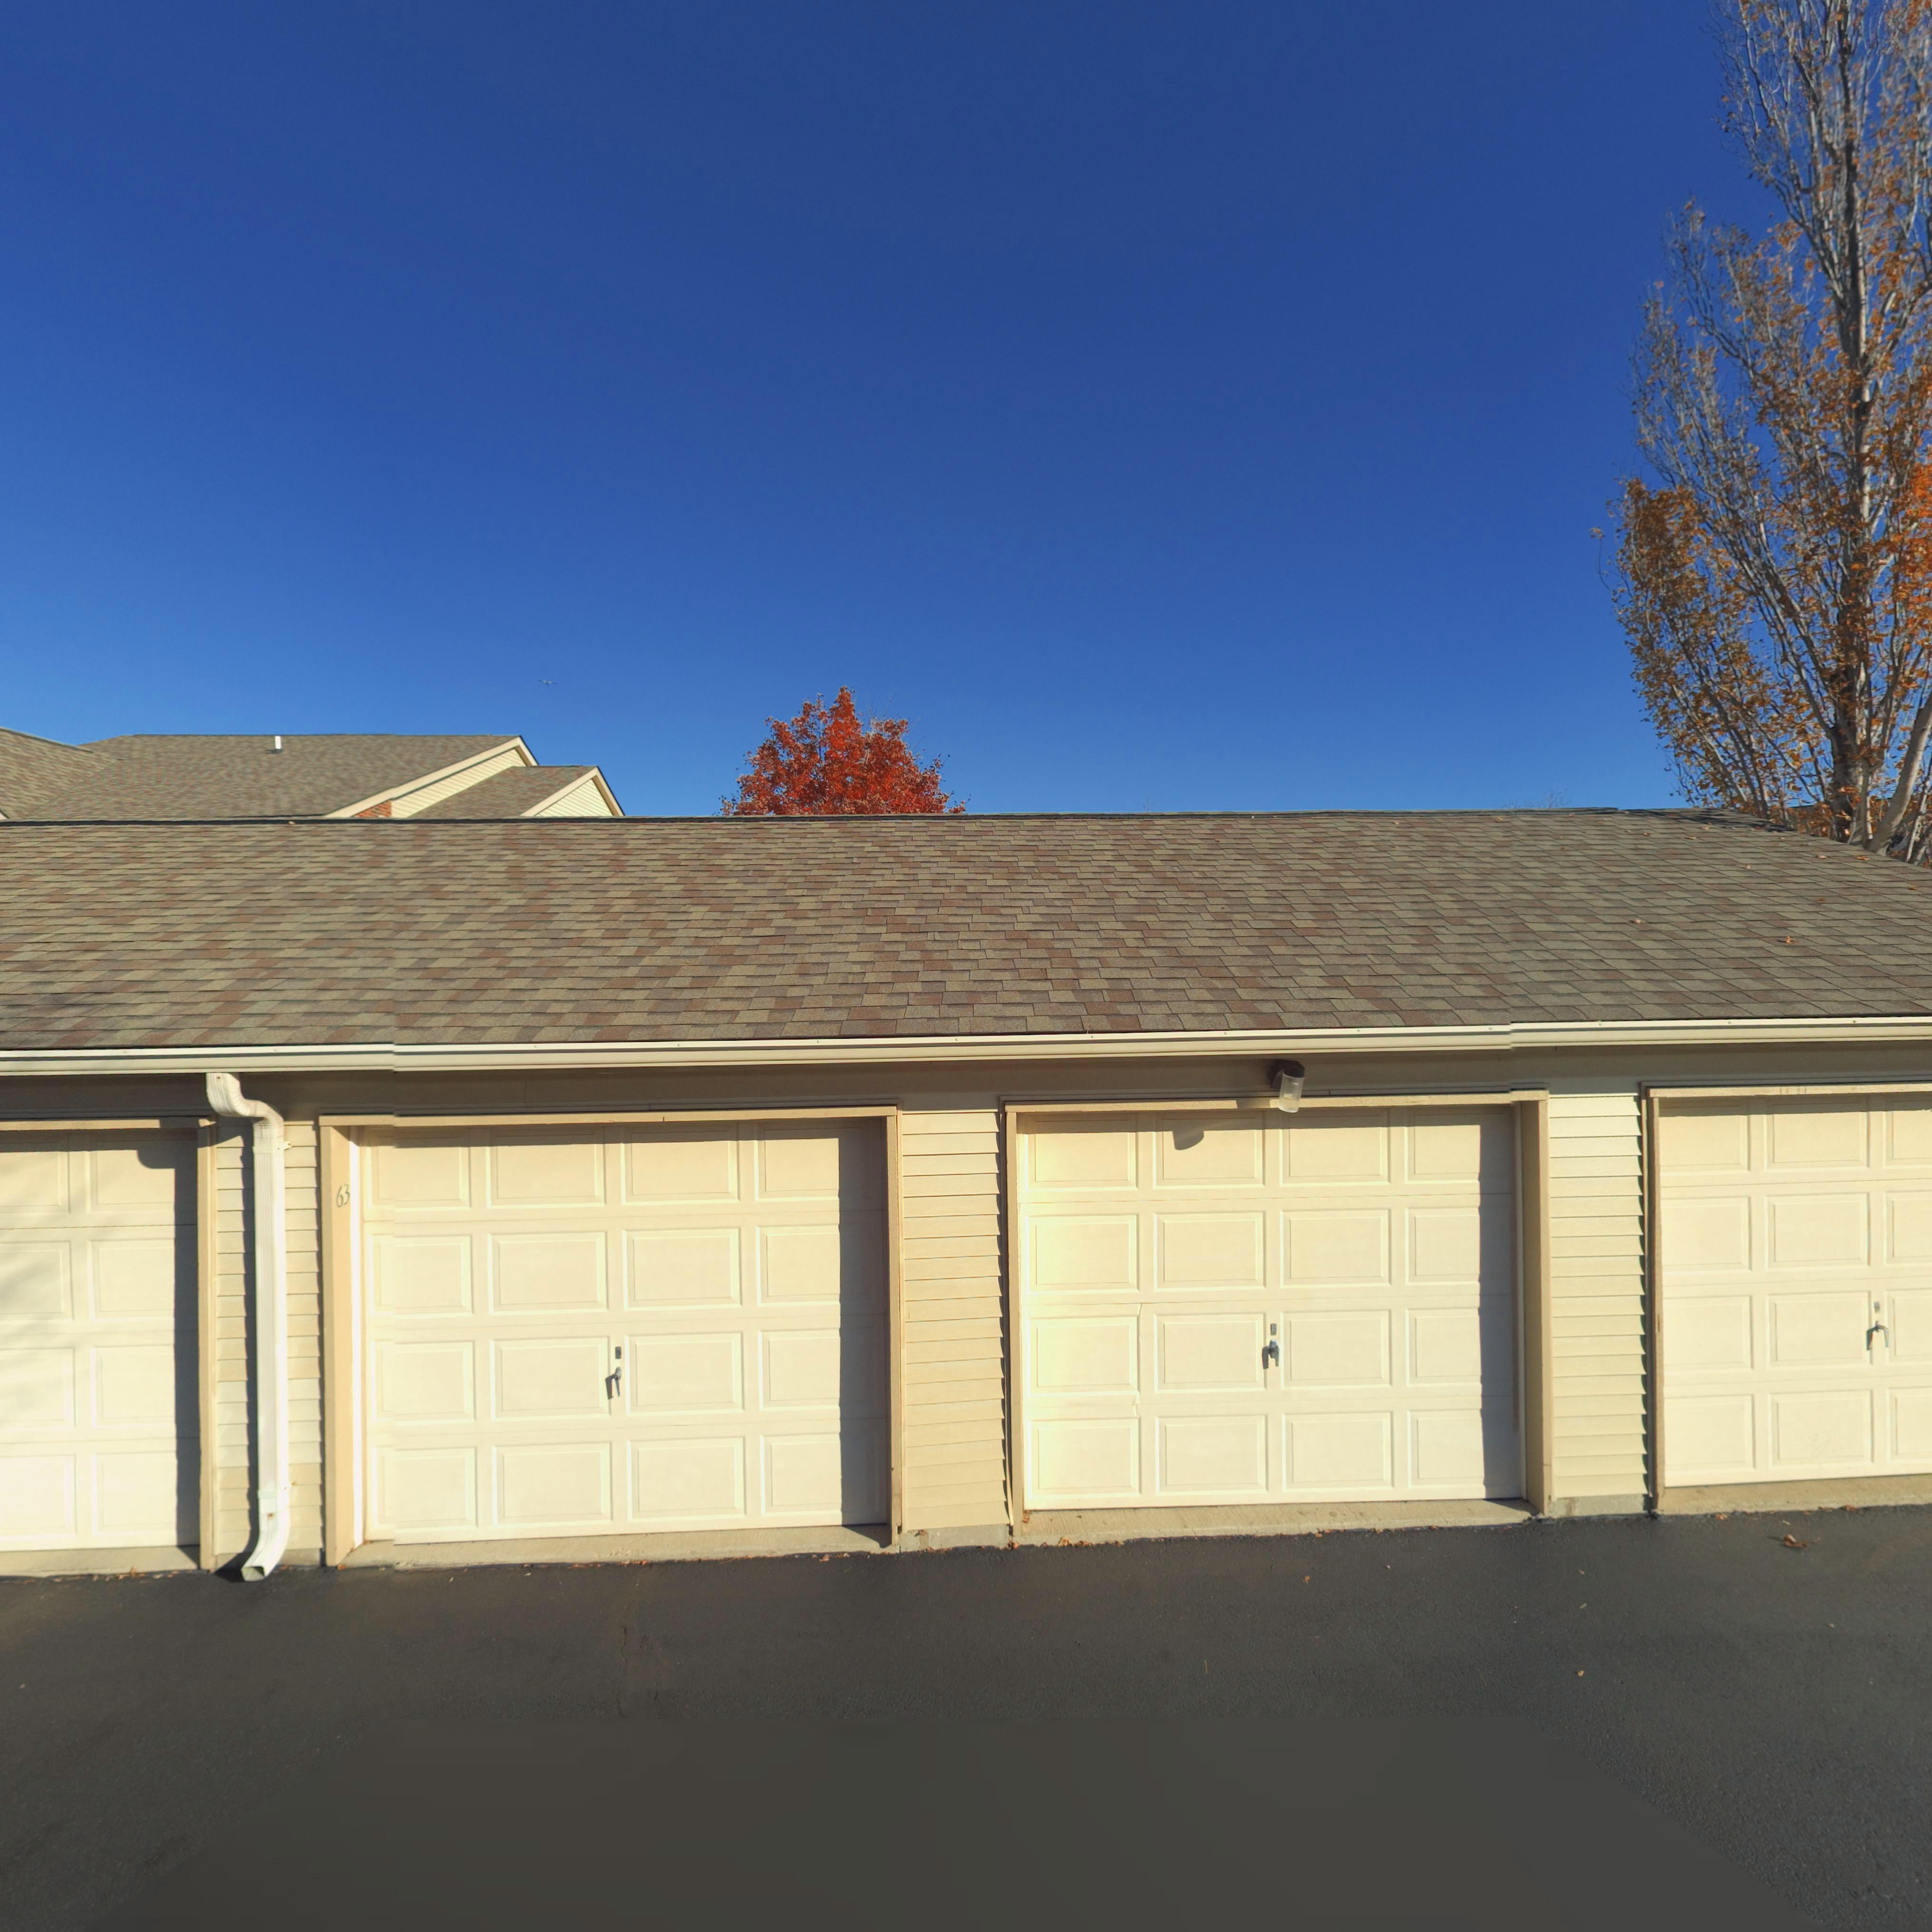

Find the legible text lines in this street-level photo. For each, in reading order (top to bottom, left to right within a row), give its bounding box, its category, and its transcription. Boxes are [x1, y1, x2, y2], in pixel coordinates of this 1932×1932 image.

[334, 1181, 350, 1208] StreetNumber: 63